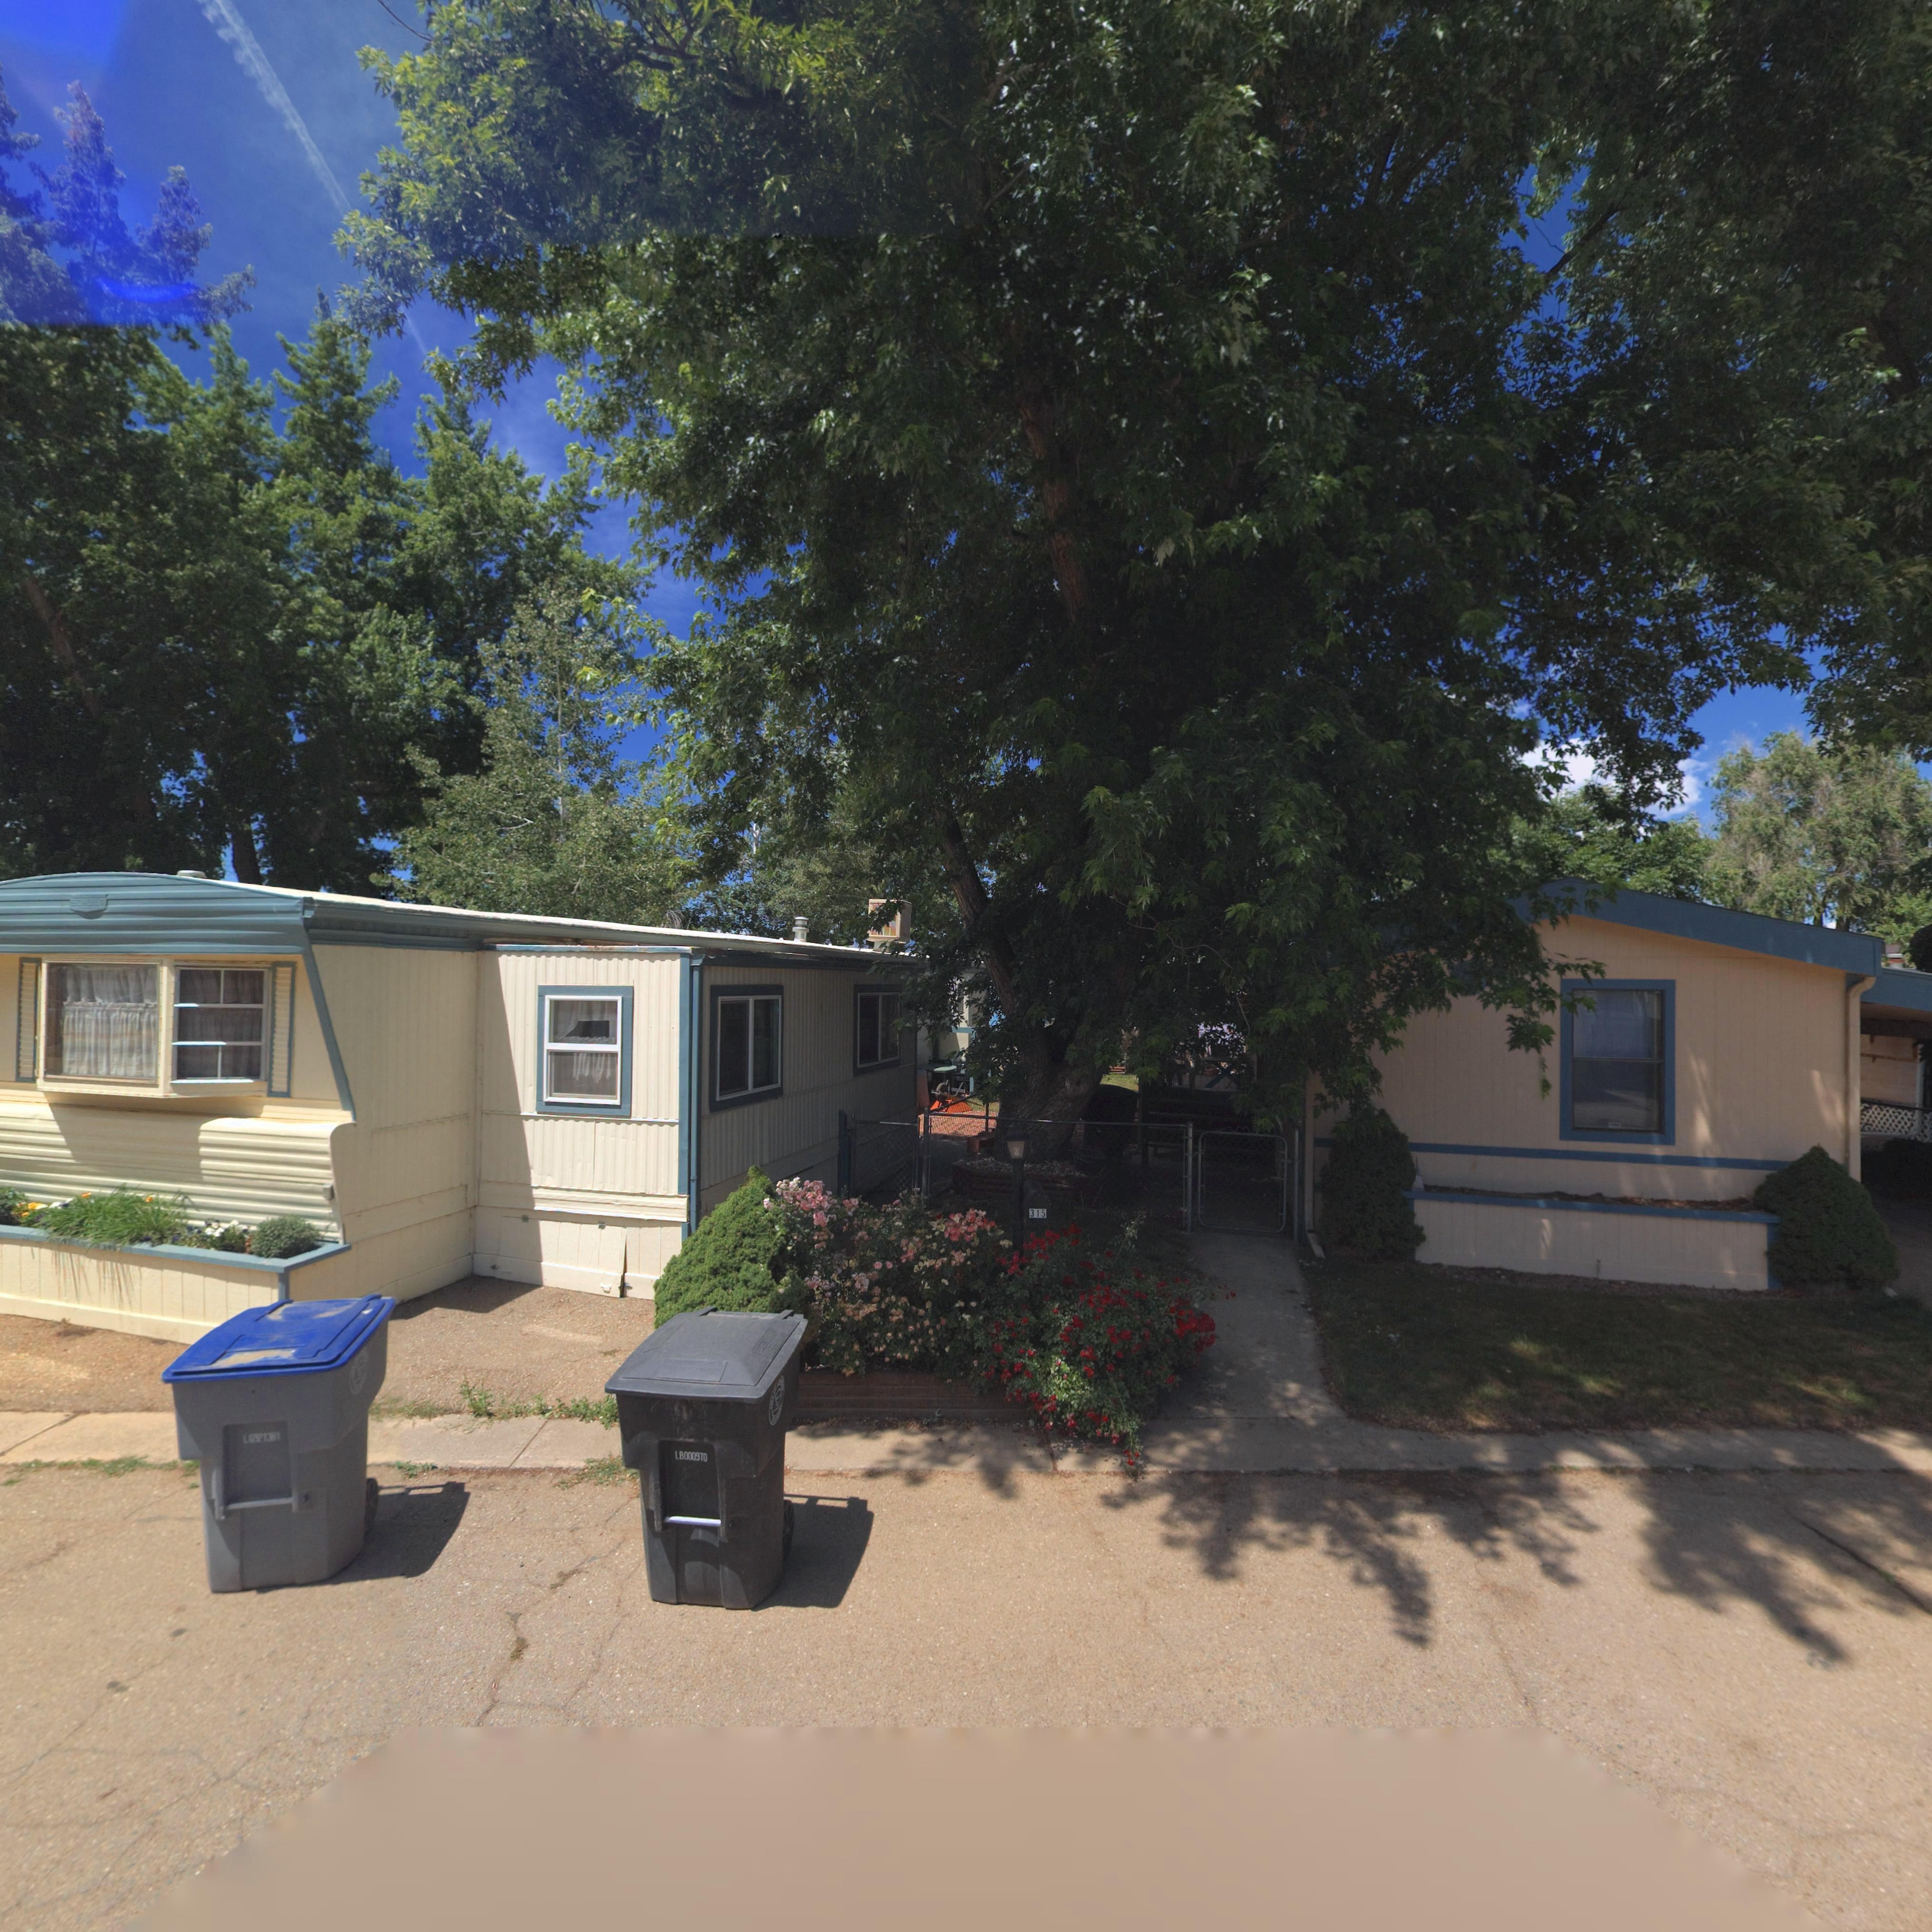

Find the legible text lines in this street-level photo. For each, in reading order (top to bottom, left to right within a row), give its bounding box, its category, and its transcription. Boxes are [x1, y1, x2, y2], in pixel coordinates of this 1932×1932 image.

[1030, 1209, 1046, 1218] StreetNumber: 315